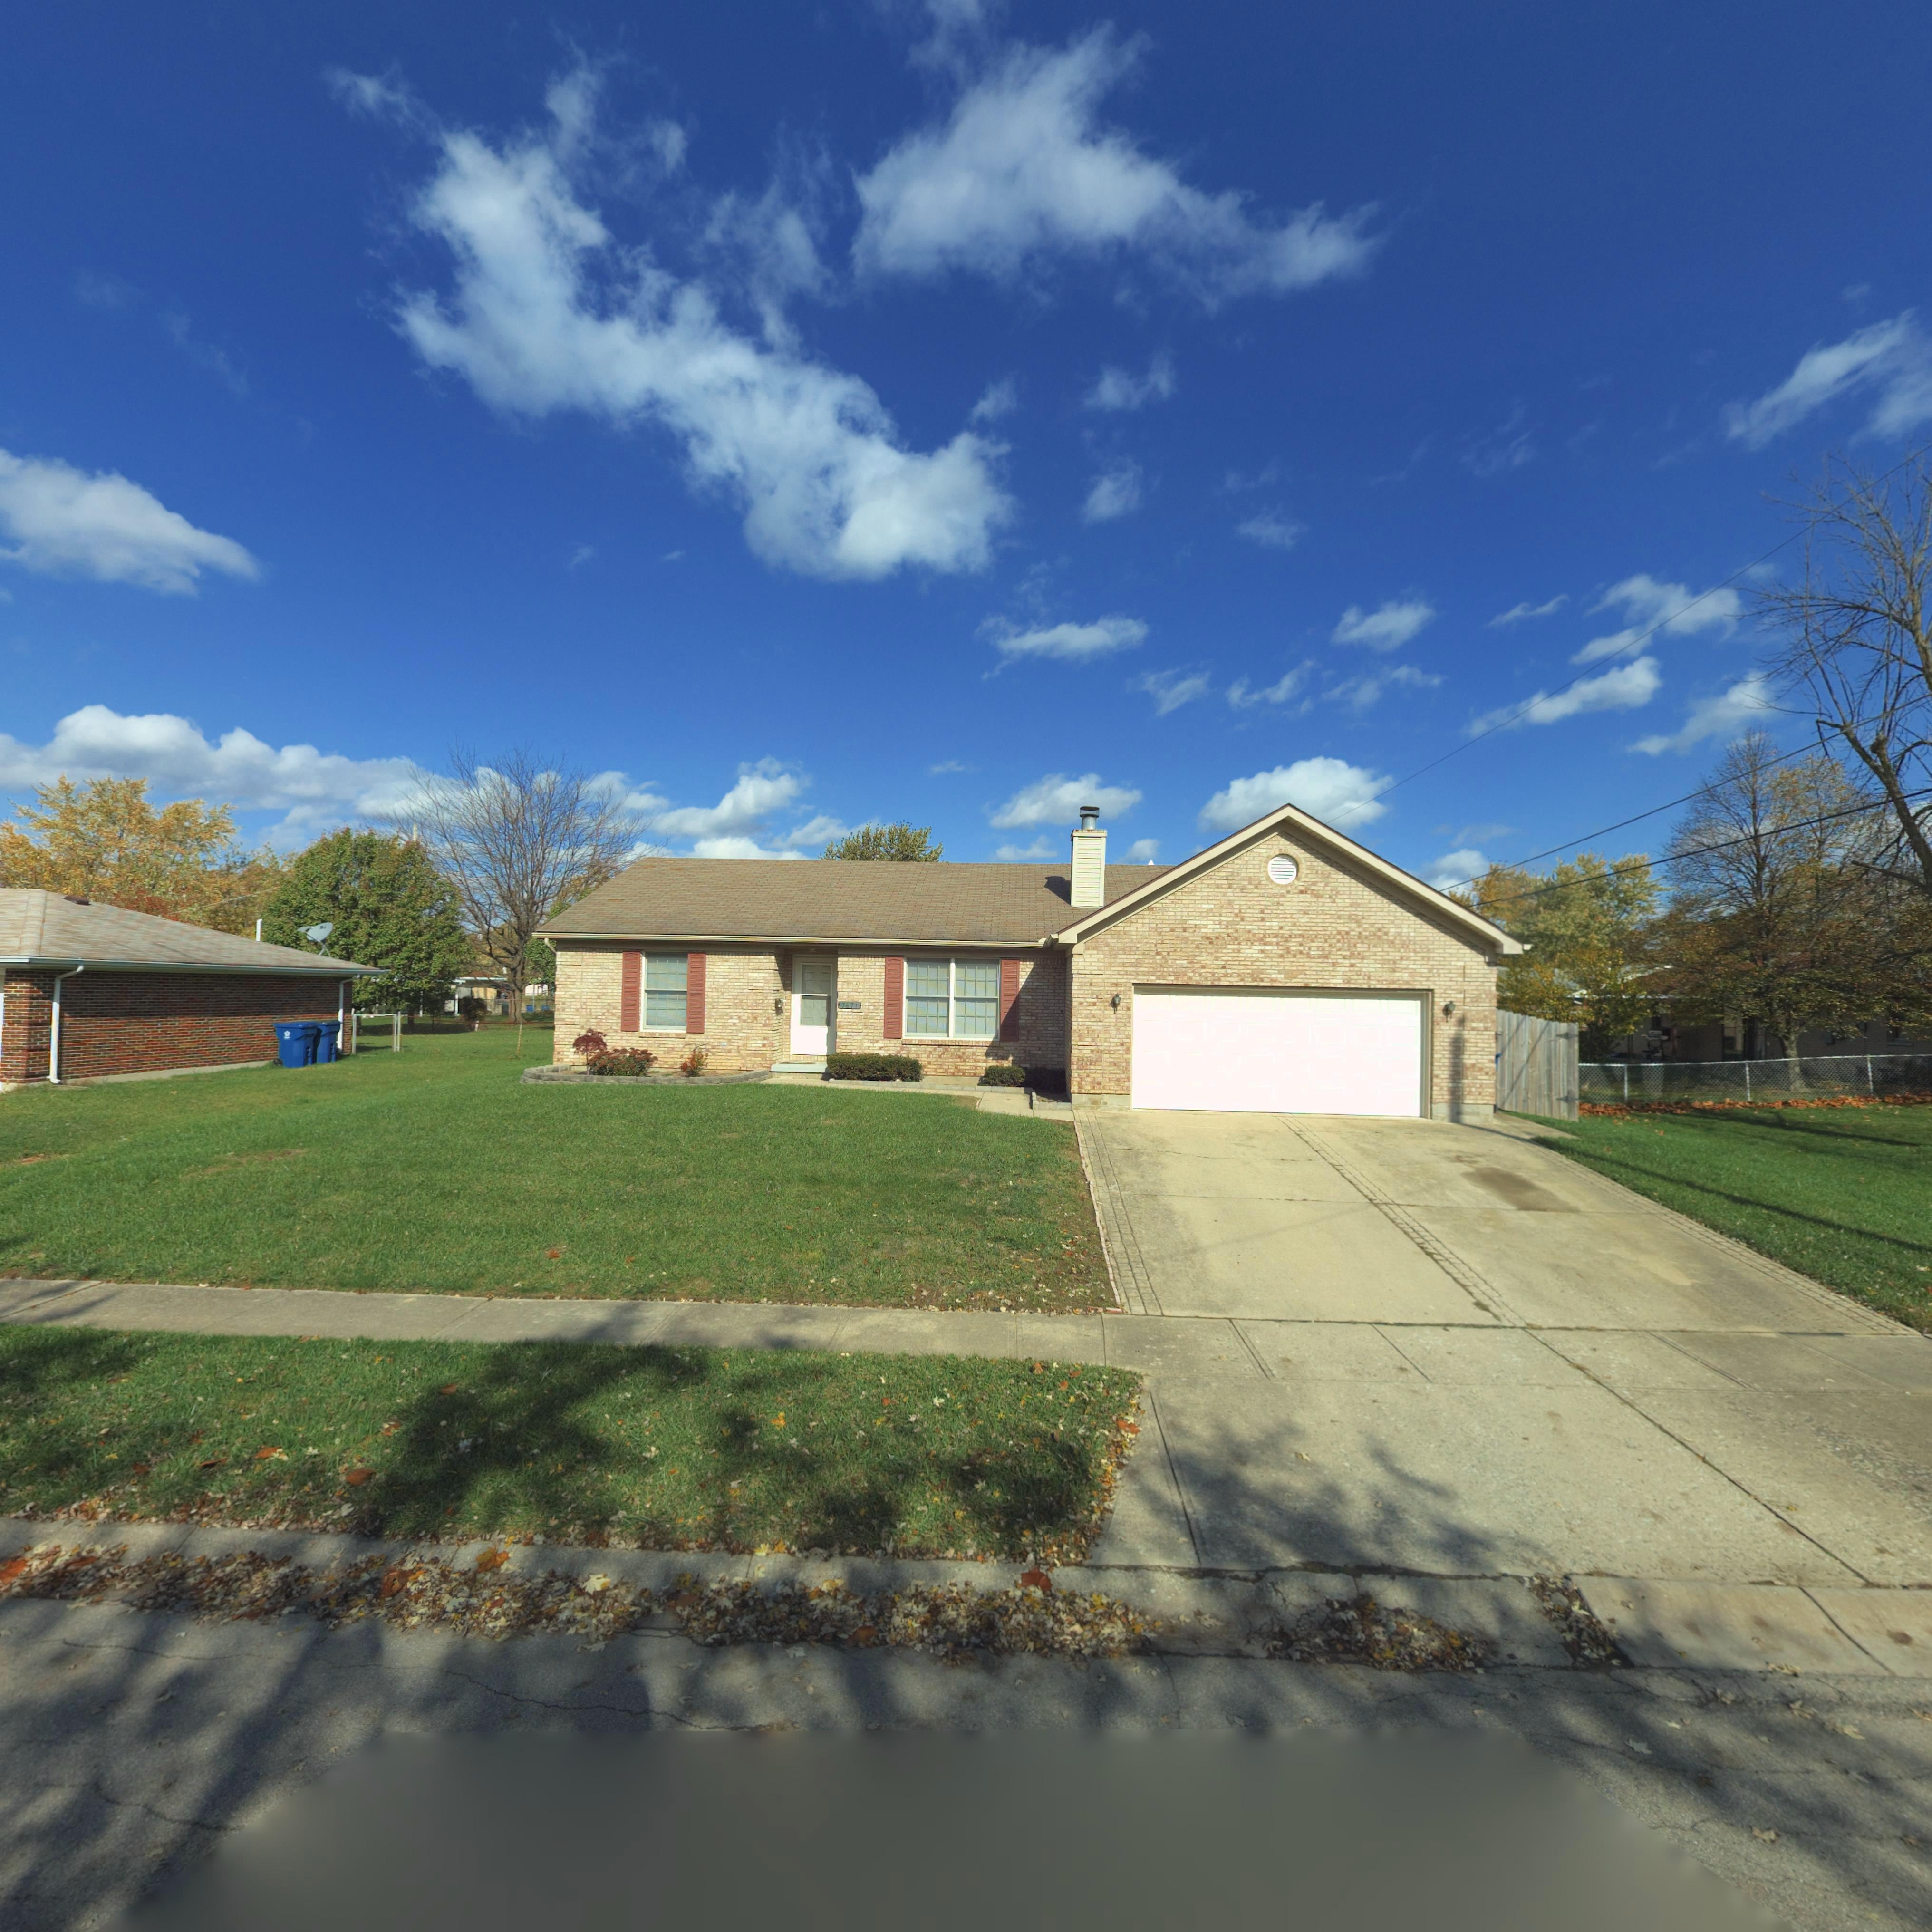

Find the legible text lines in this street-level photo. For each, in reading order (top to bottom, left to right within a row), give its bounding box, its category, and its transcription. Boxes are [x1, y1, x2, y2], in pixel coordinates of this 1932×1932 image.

[841, 1002, 858, 1009] StreetNumber: 7671